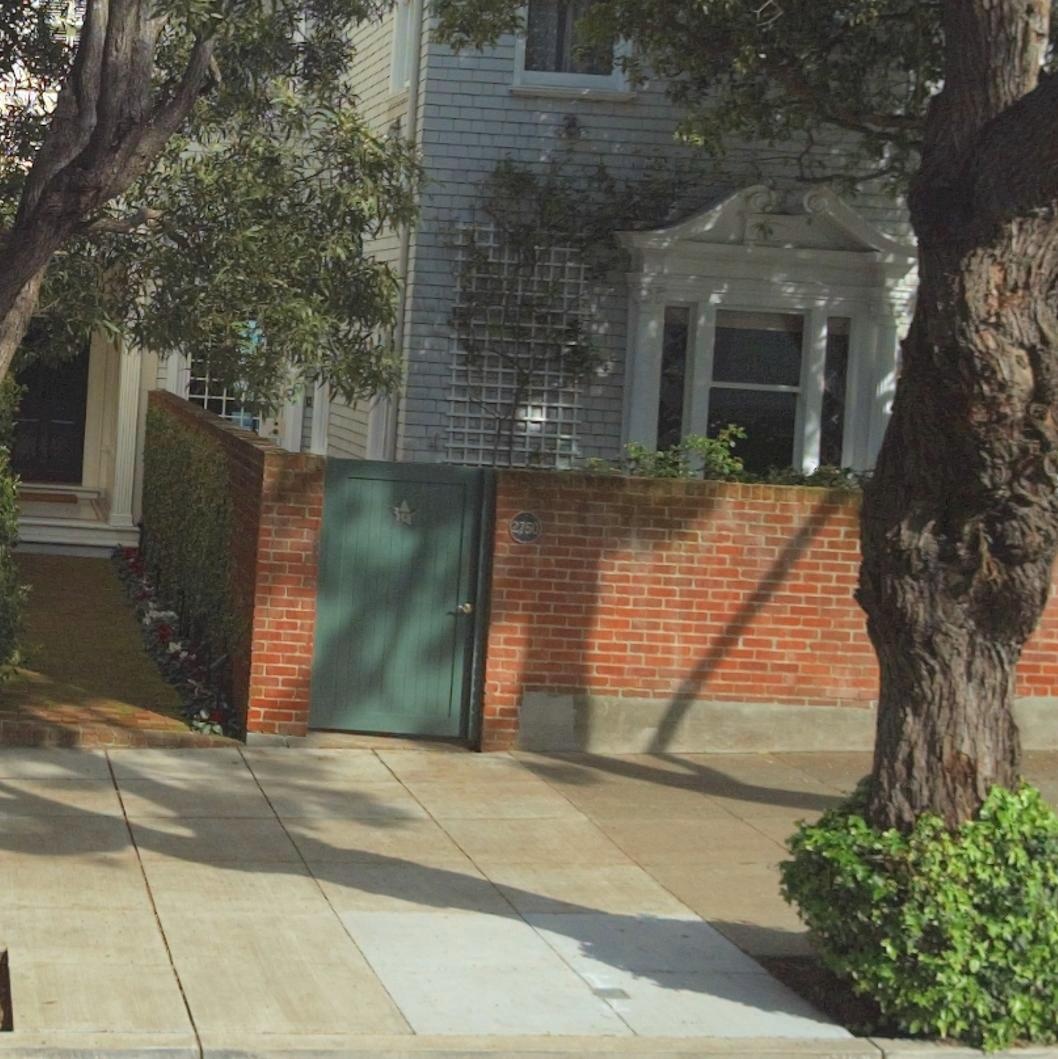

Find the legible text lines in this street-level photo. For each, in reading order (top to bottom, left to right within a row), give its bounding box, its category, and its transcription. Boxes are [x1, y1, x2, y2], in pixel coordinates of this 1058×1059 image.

[509, 519, 541, 537] StreetNumber: 2750